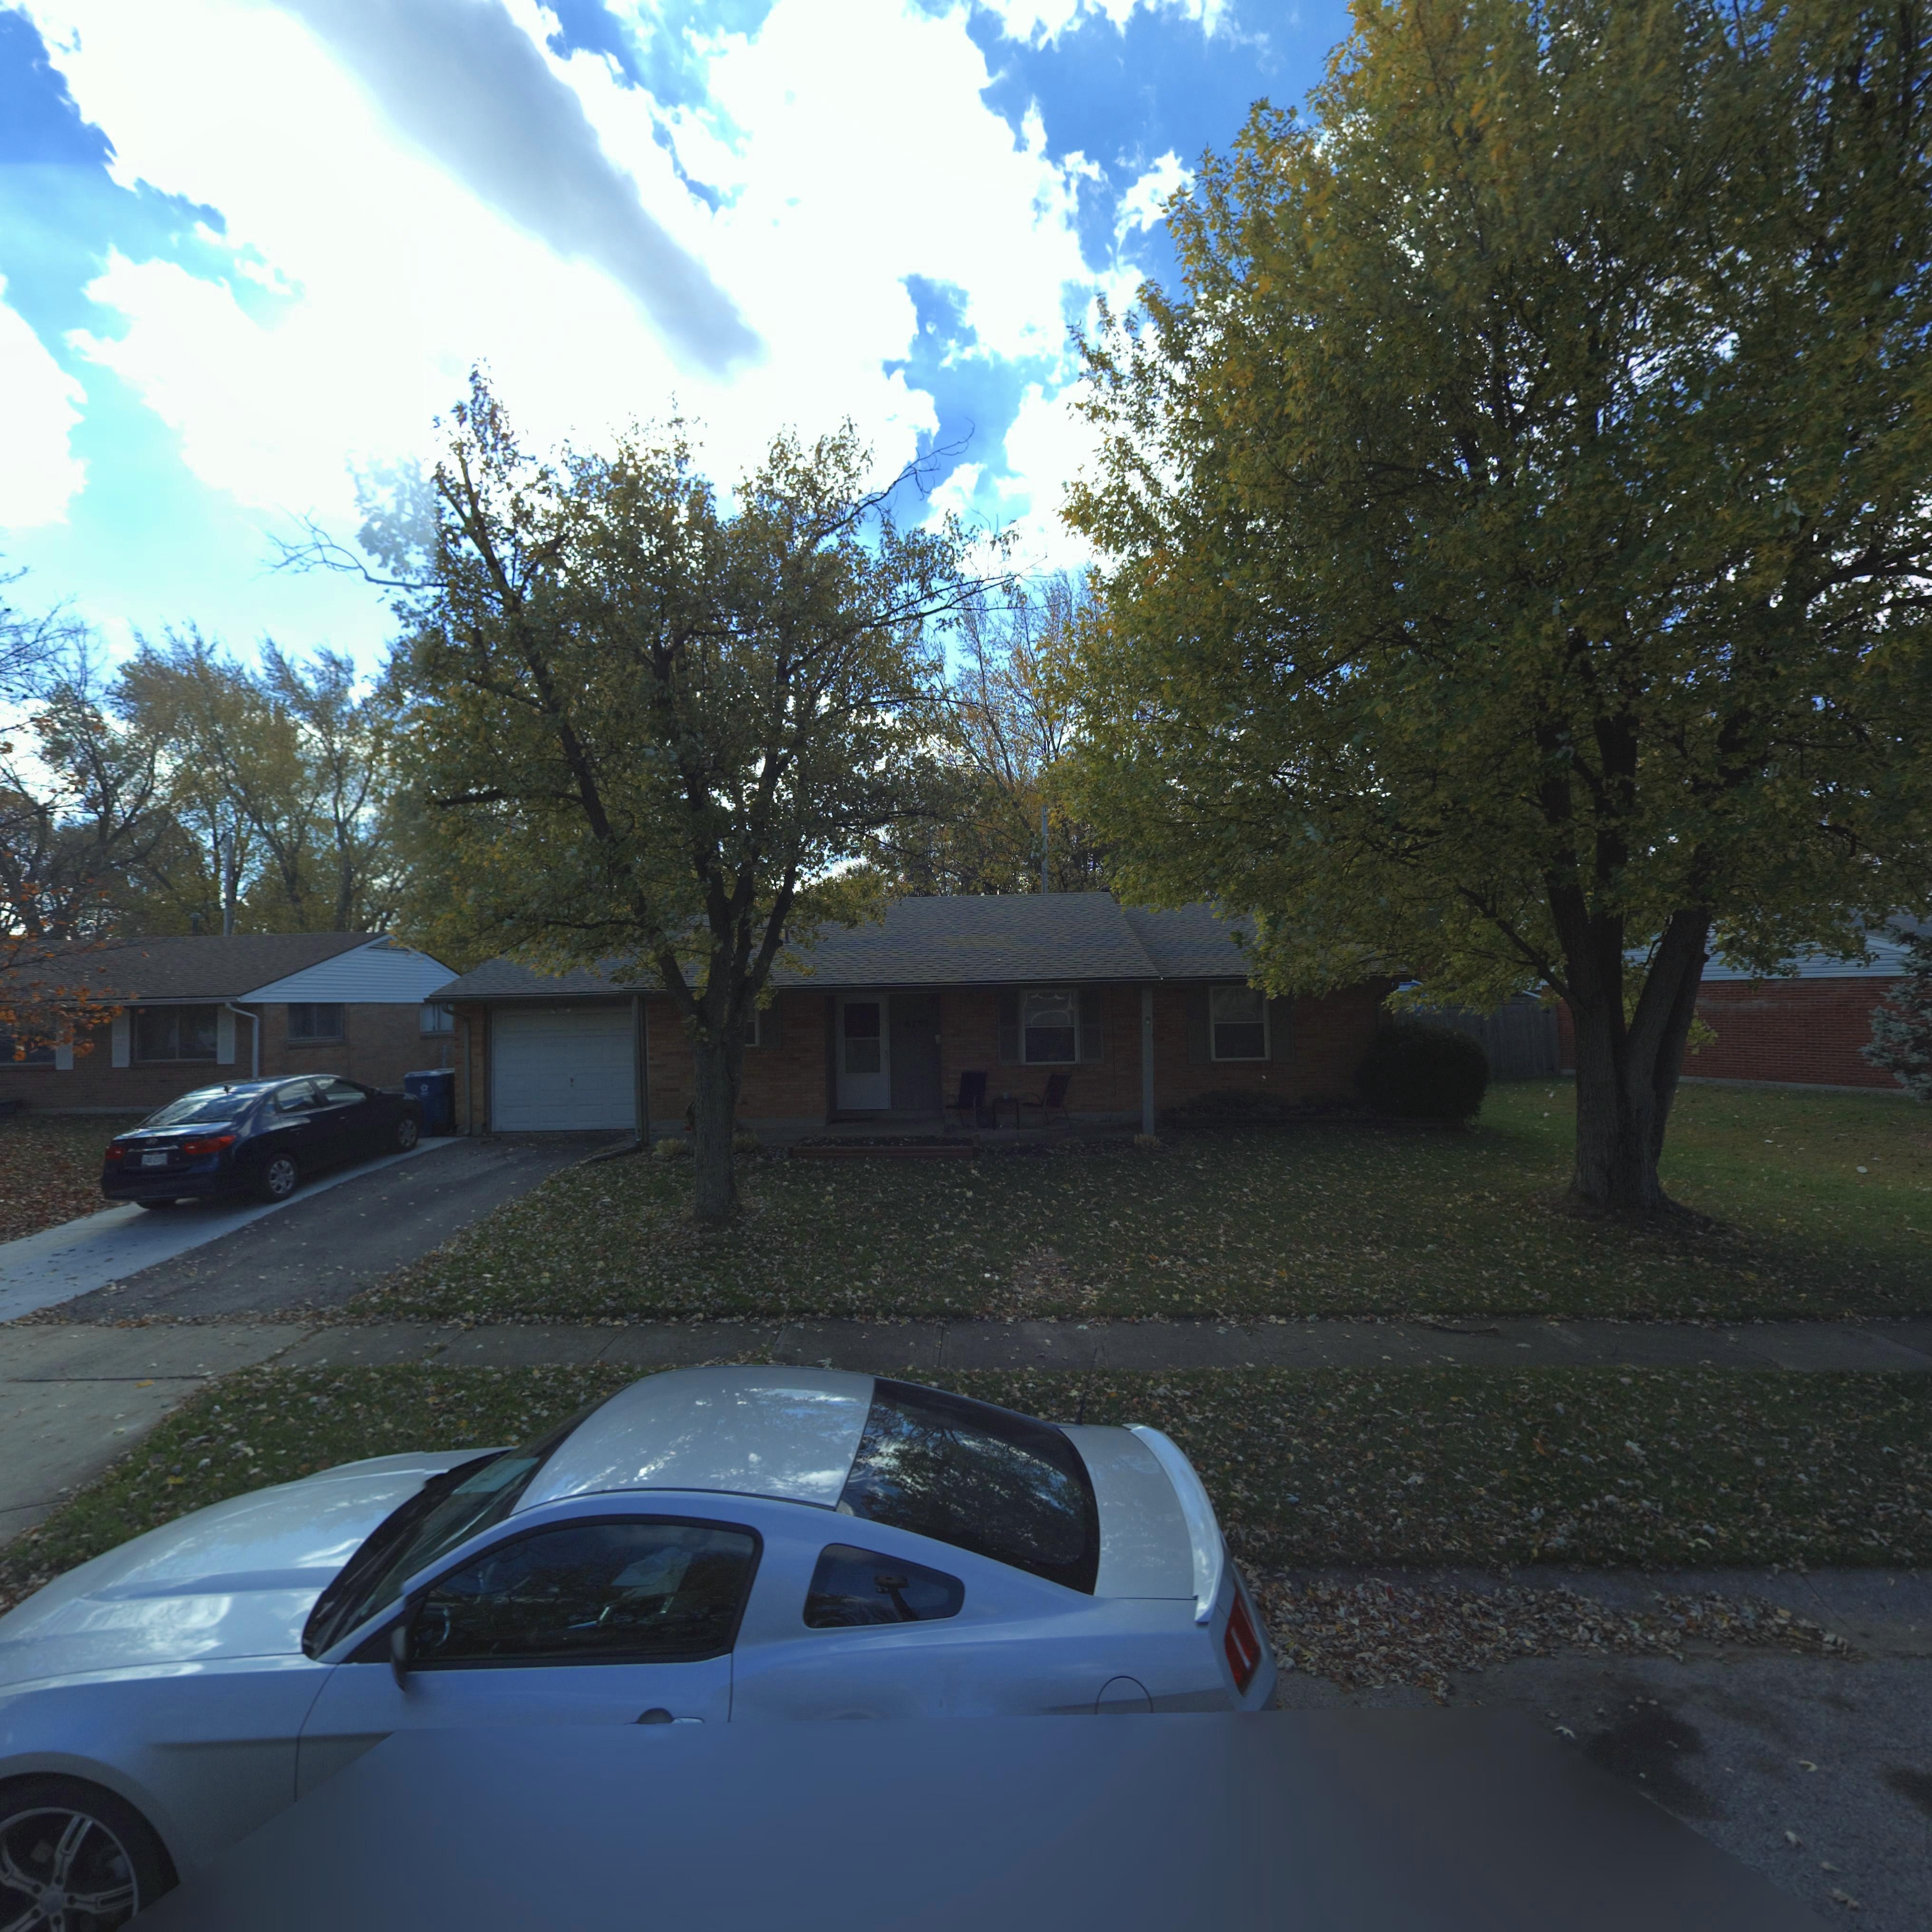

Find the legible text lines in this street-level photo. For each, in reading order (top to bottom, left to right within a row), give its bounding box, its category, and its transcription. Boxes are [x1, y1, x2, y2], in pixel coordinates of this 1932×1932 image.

[904, 1018, 929, 1029] StreetNumber: 6758